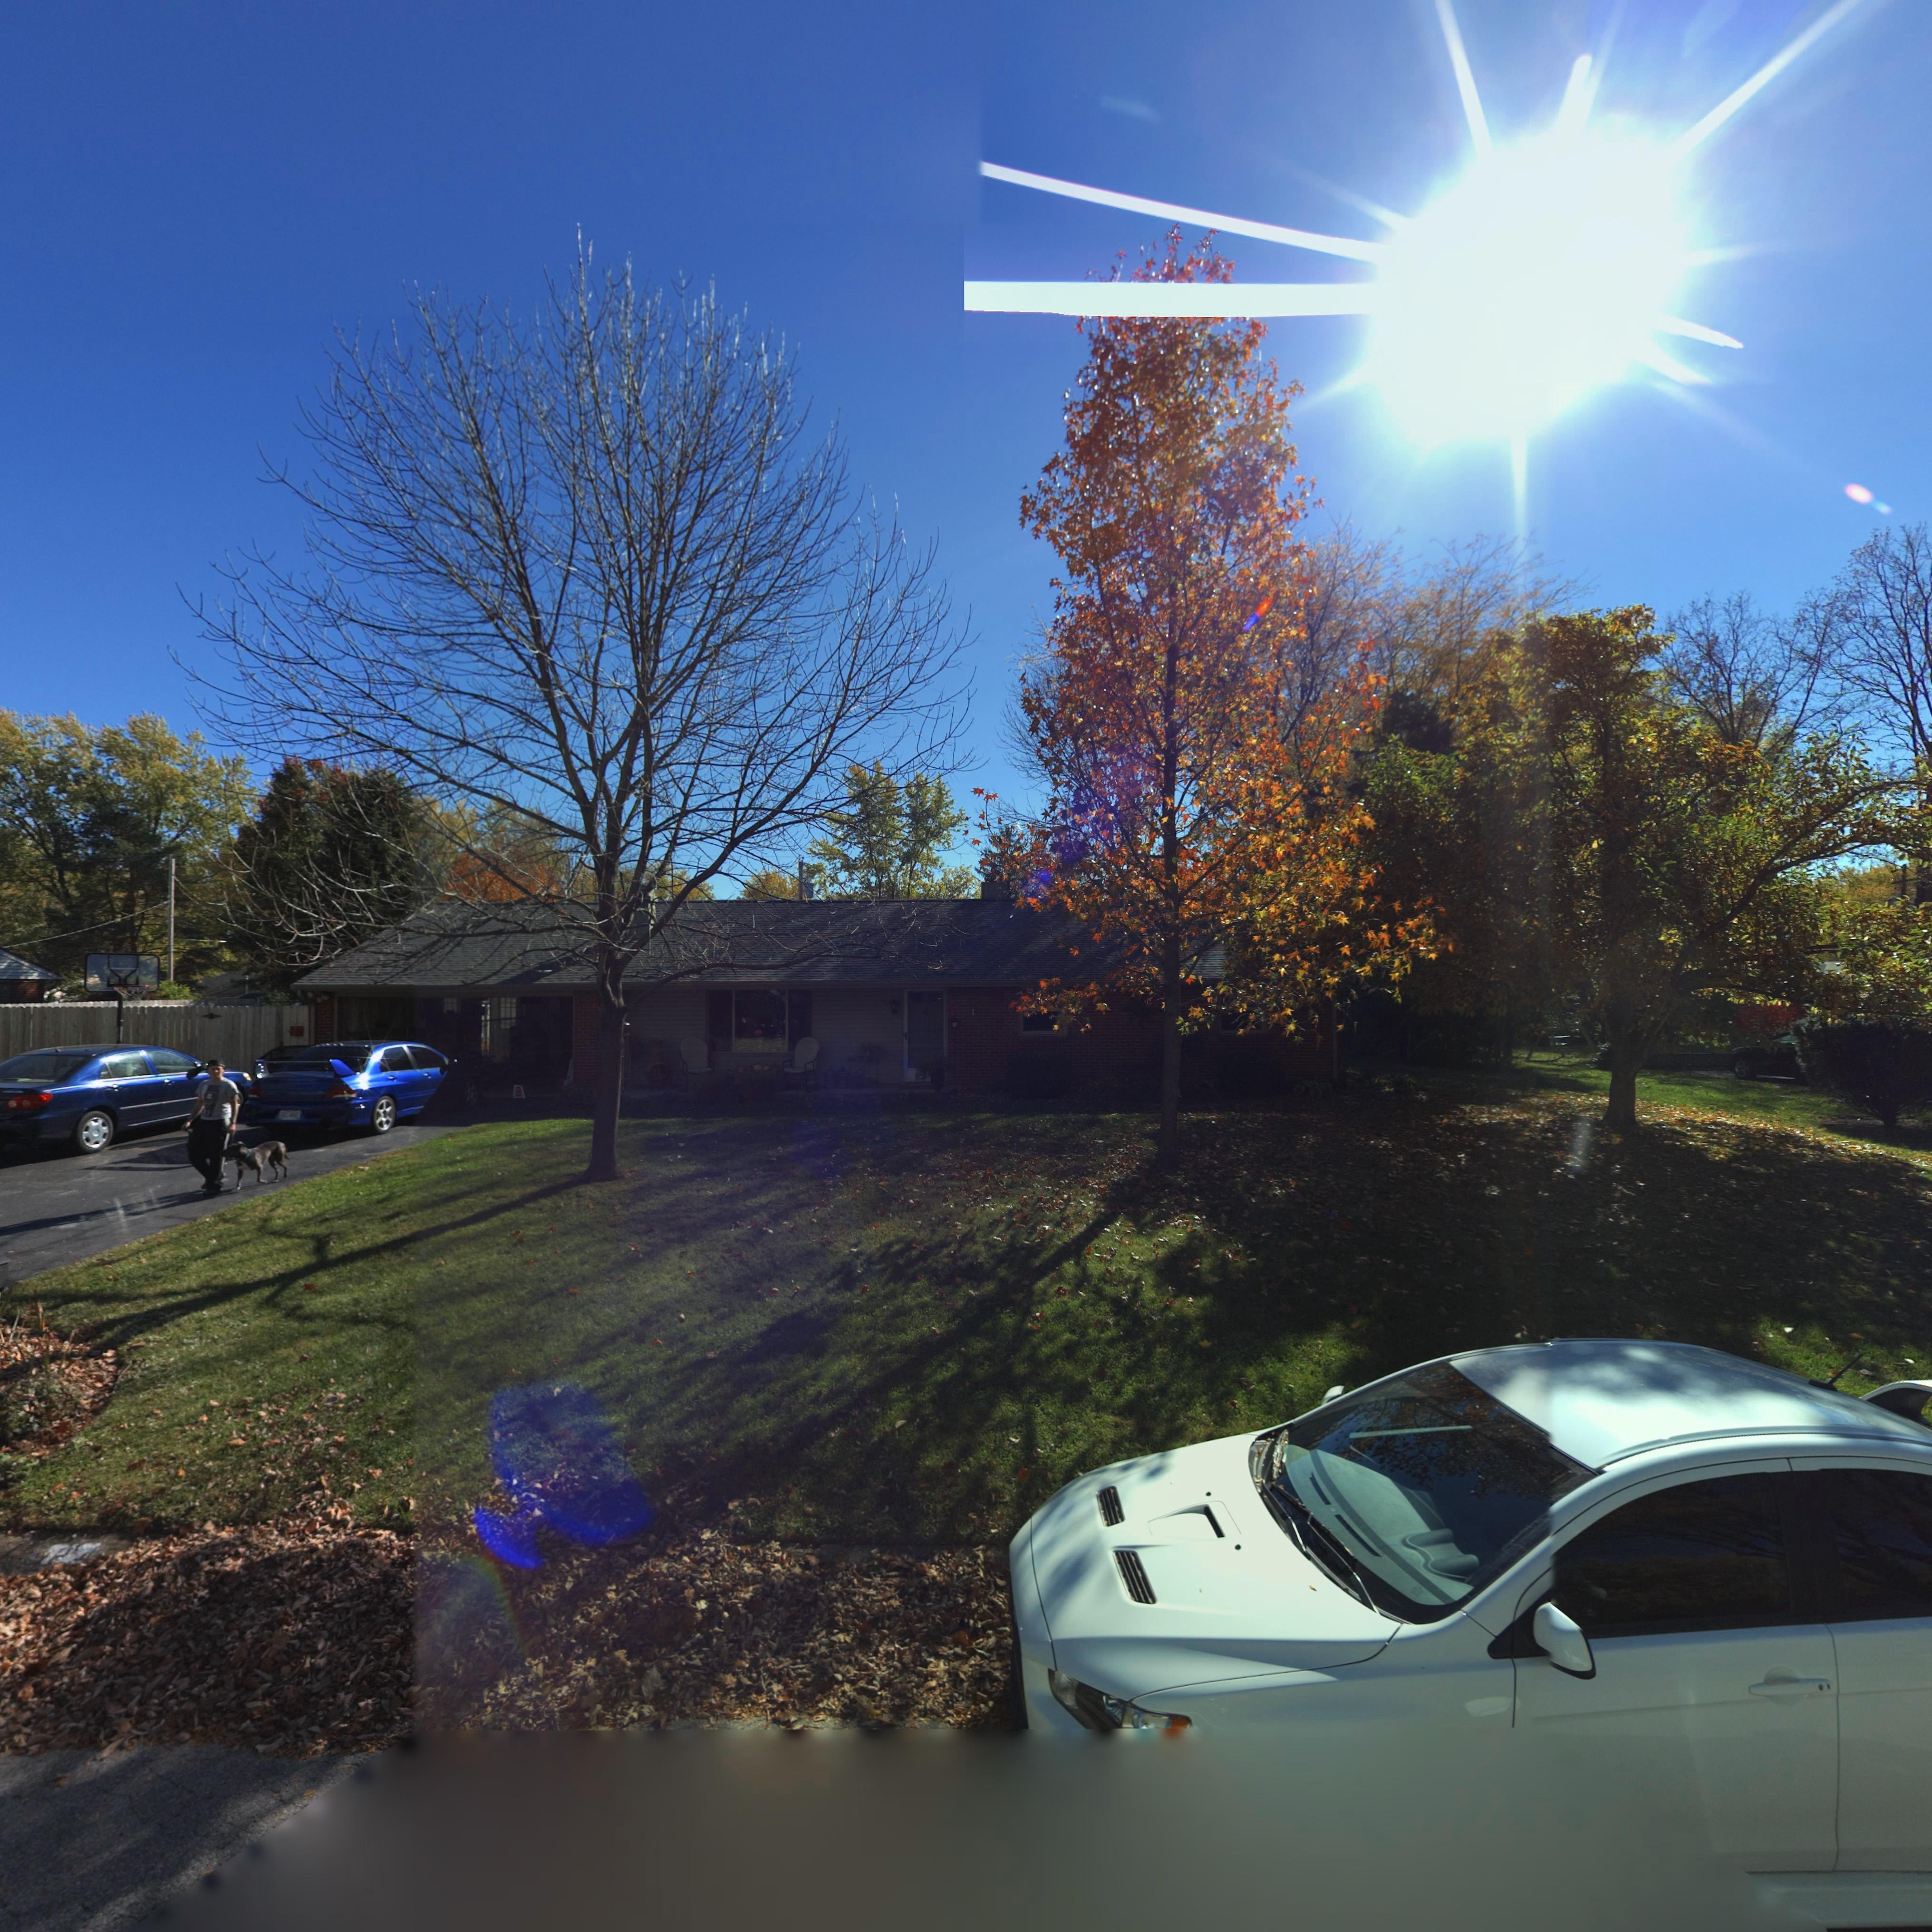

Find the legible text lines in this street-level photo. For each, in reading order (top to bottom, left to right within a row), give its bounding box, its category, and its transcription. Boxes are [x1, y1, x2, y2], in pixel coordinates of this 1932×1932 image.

[44, 1545, 102, 1566] StreetNumber: 24